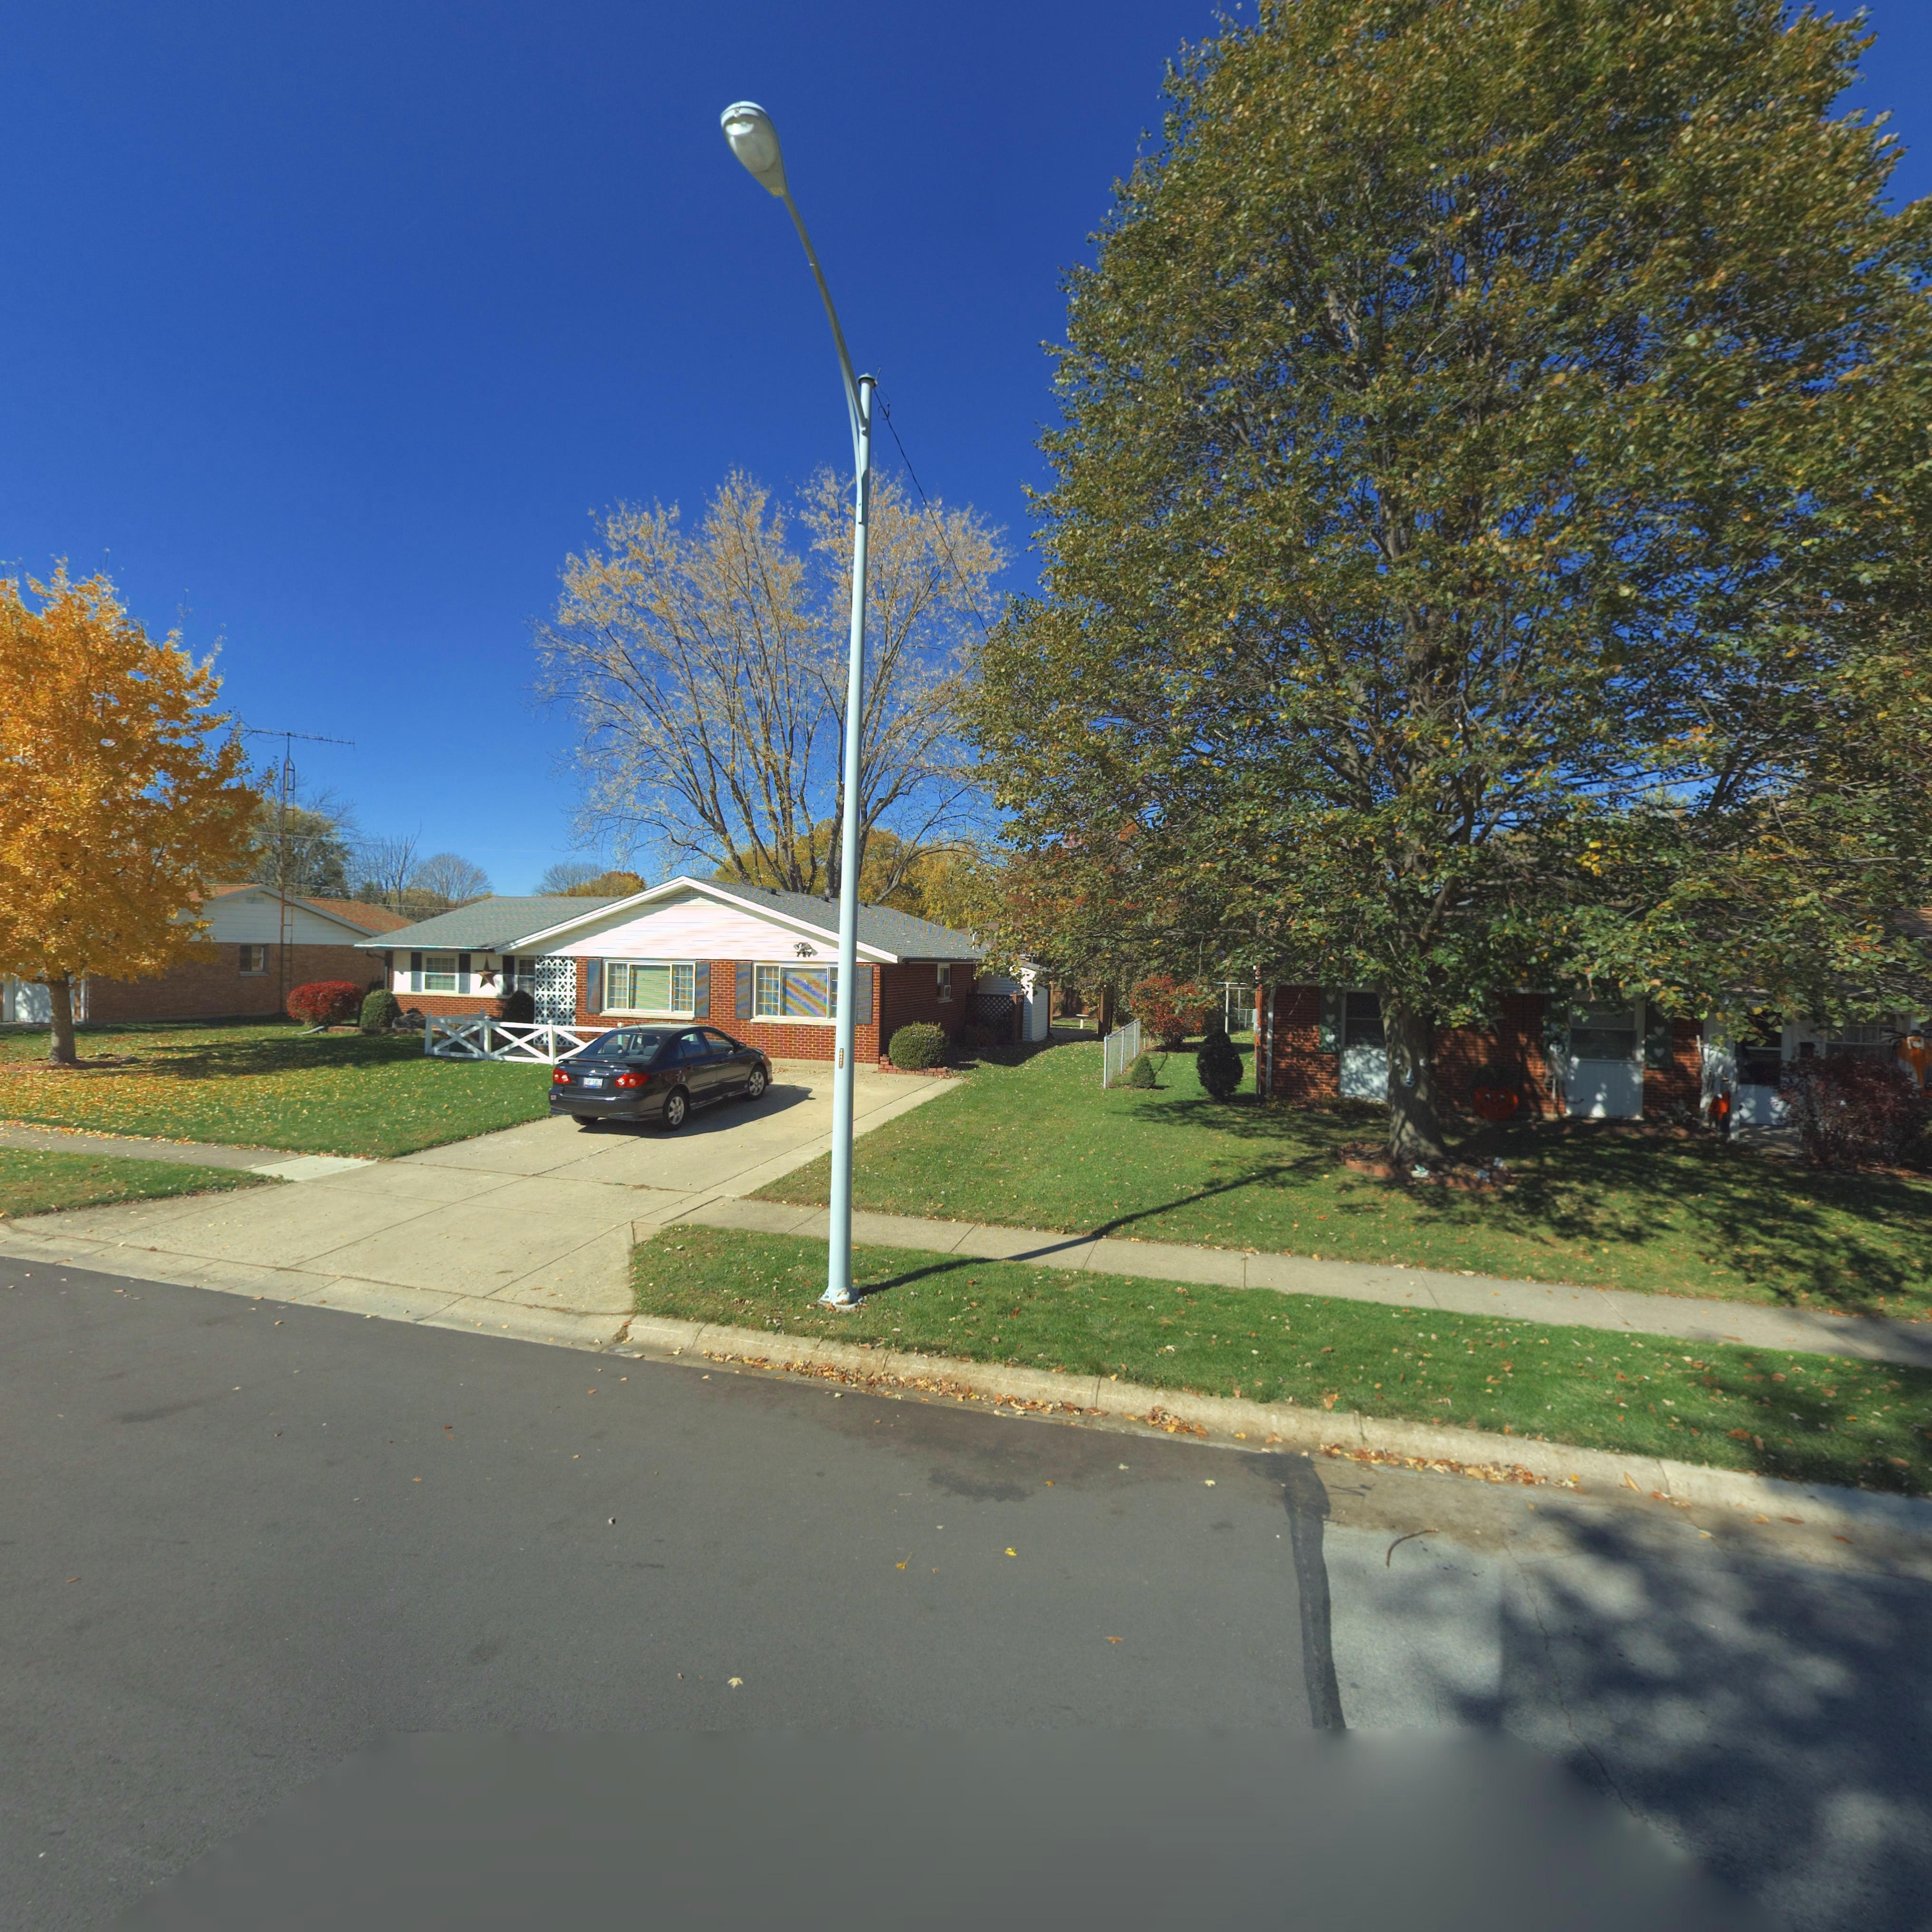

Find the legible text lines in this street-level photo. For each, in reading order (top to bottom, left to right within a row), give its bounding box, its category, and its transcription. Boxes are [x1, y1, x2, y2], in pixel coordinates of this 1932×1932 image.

[795, 951, 813, 958] StreetNumber: 727
[584, 1079, 602, 1086] None: E*P*5457